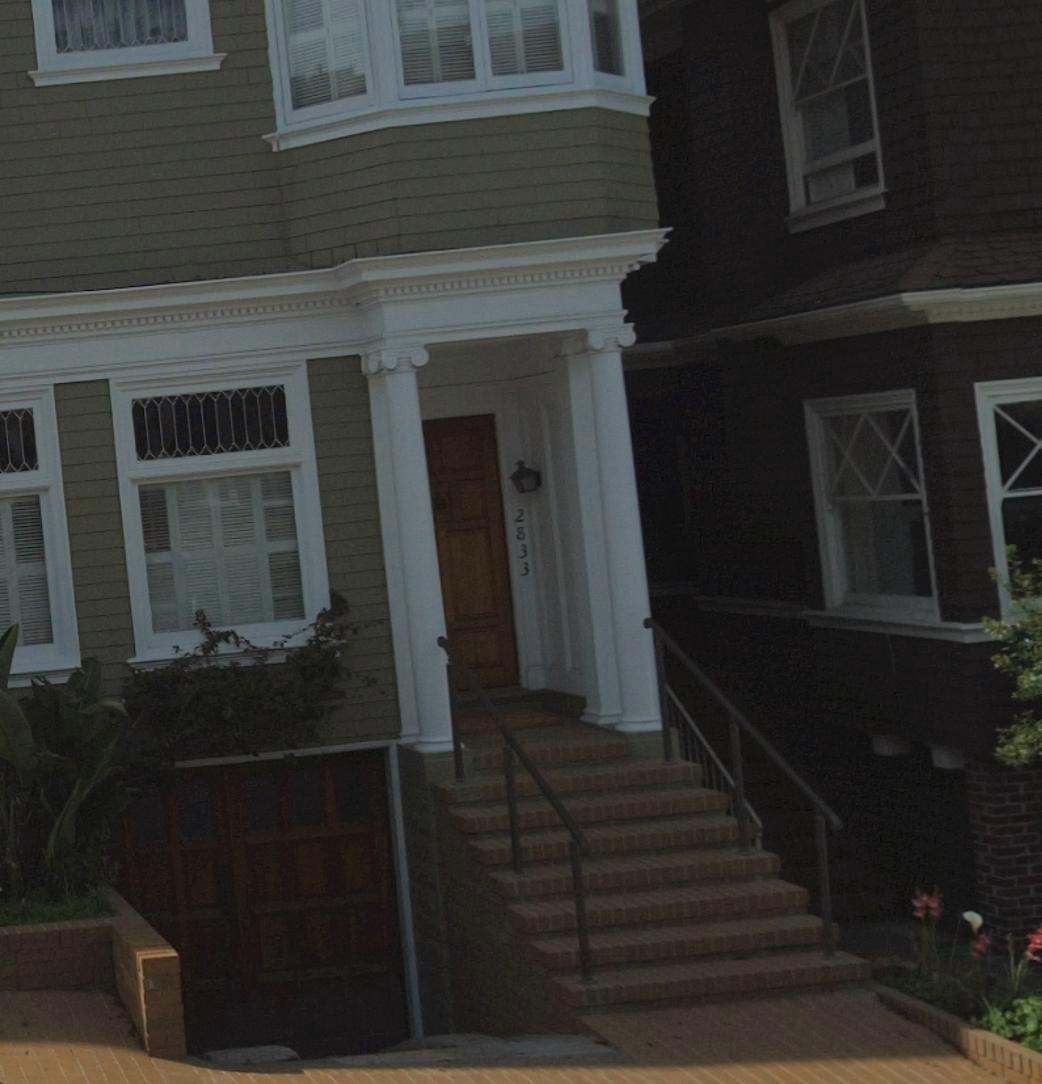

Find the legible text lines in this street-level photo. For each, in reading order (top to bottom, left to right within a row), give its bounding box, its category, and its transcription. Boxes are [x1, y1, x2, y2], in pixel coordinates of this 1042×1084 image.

[511, 505, 534, 579] StreetNumber: 2833